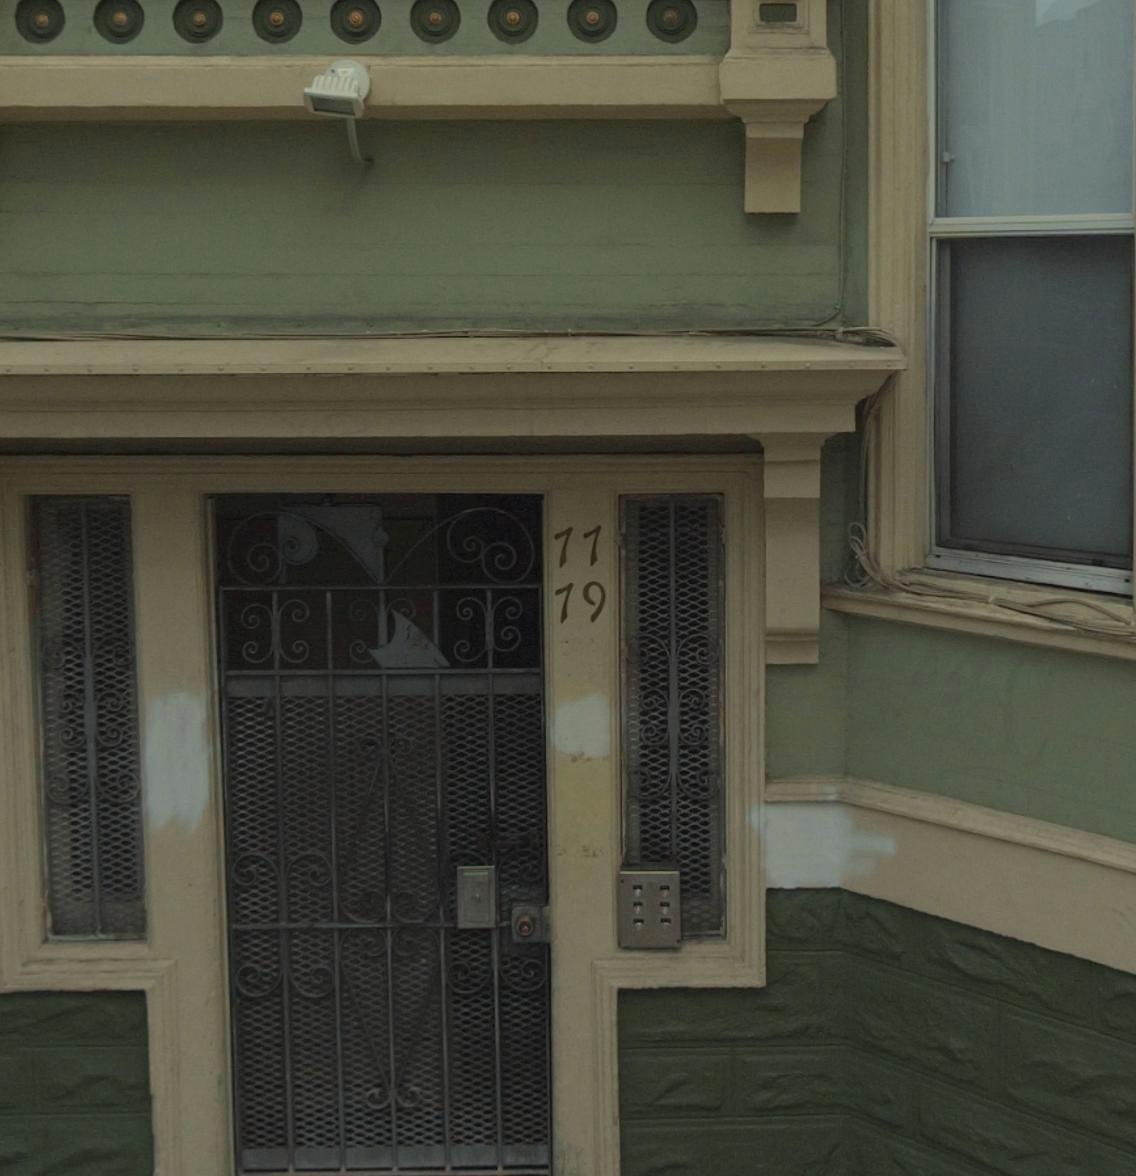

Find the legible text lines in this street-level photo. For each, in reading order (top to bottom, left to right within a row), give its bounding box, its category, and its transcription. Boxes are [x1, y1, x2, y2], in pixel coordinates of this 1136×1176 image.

[553, 524, 603, 568] StreetNumber: 77
[554, 580, 607, 625] StreetNumber: 79